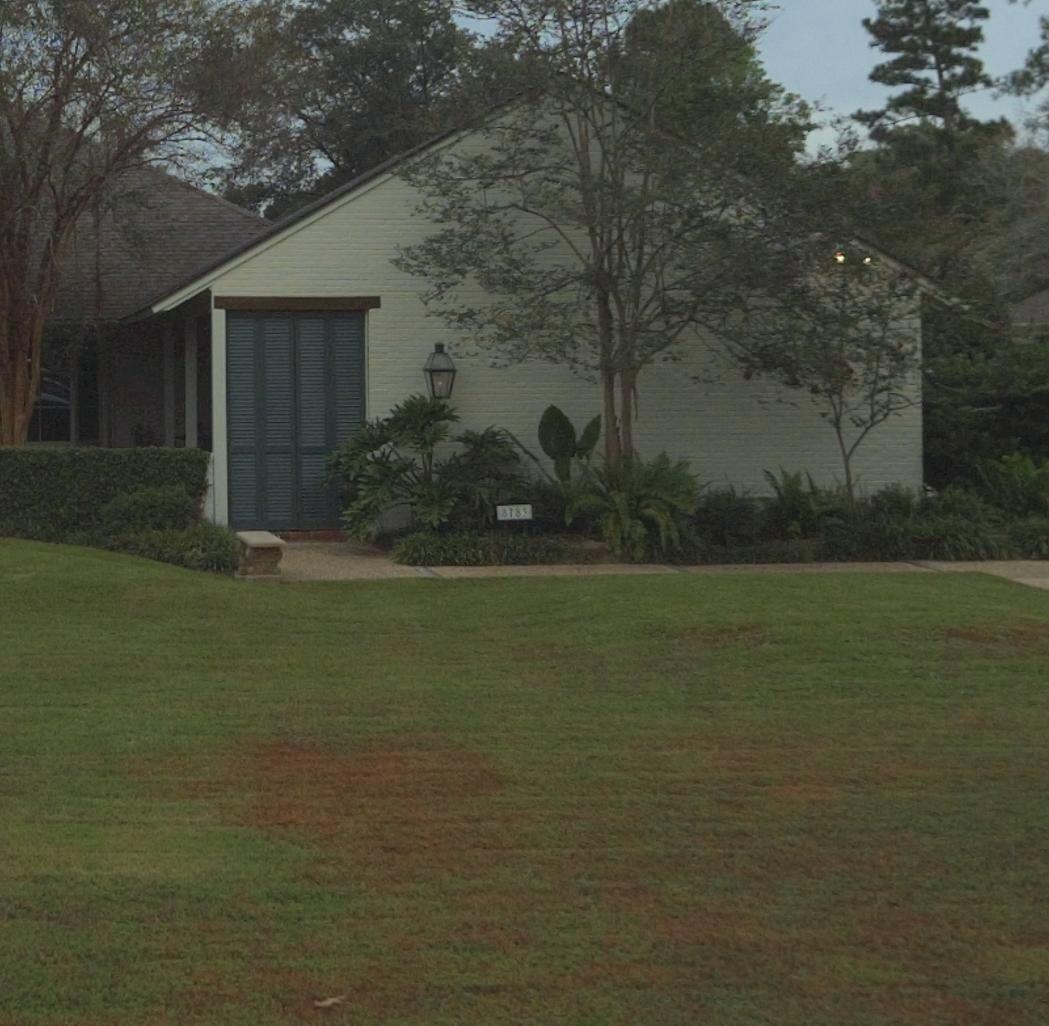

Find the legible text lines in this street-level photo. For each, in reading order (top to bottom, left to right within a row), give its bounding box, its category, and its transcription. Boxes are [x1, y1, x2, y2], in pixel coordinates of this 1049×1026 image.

[501, 507, 528, 519] StreetNumber: 8783